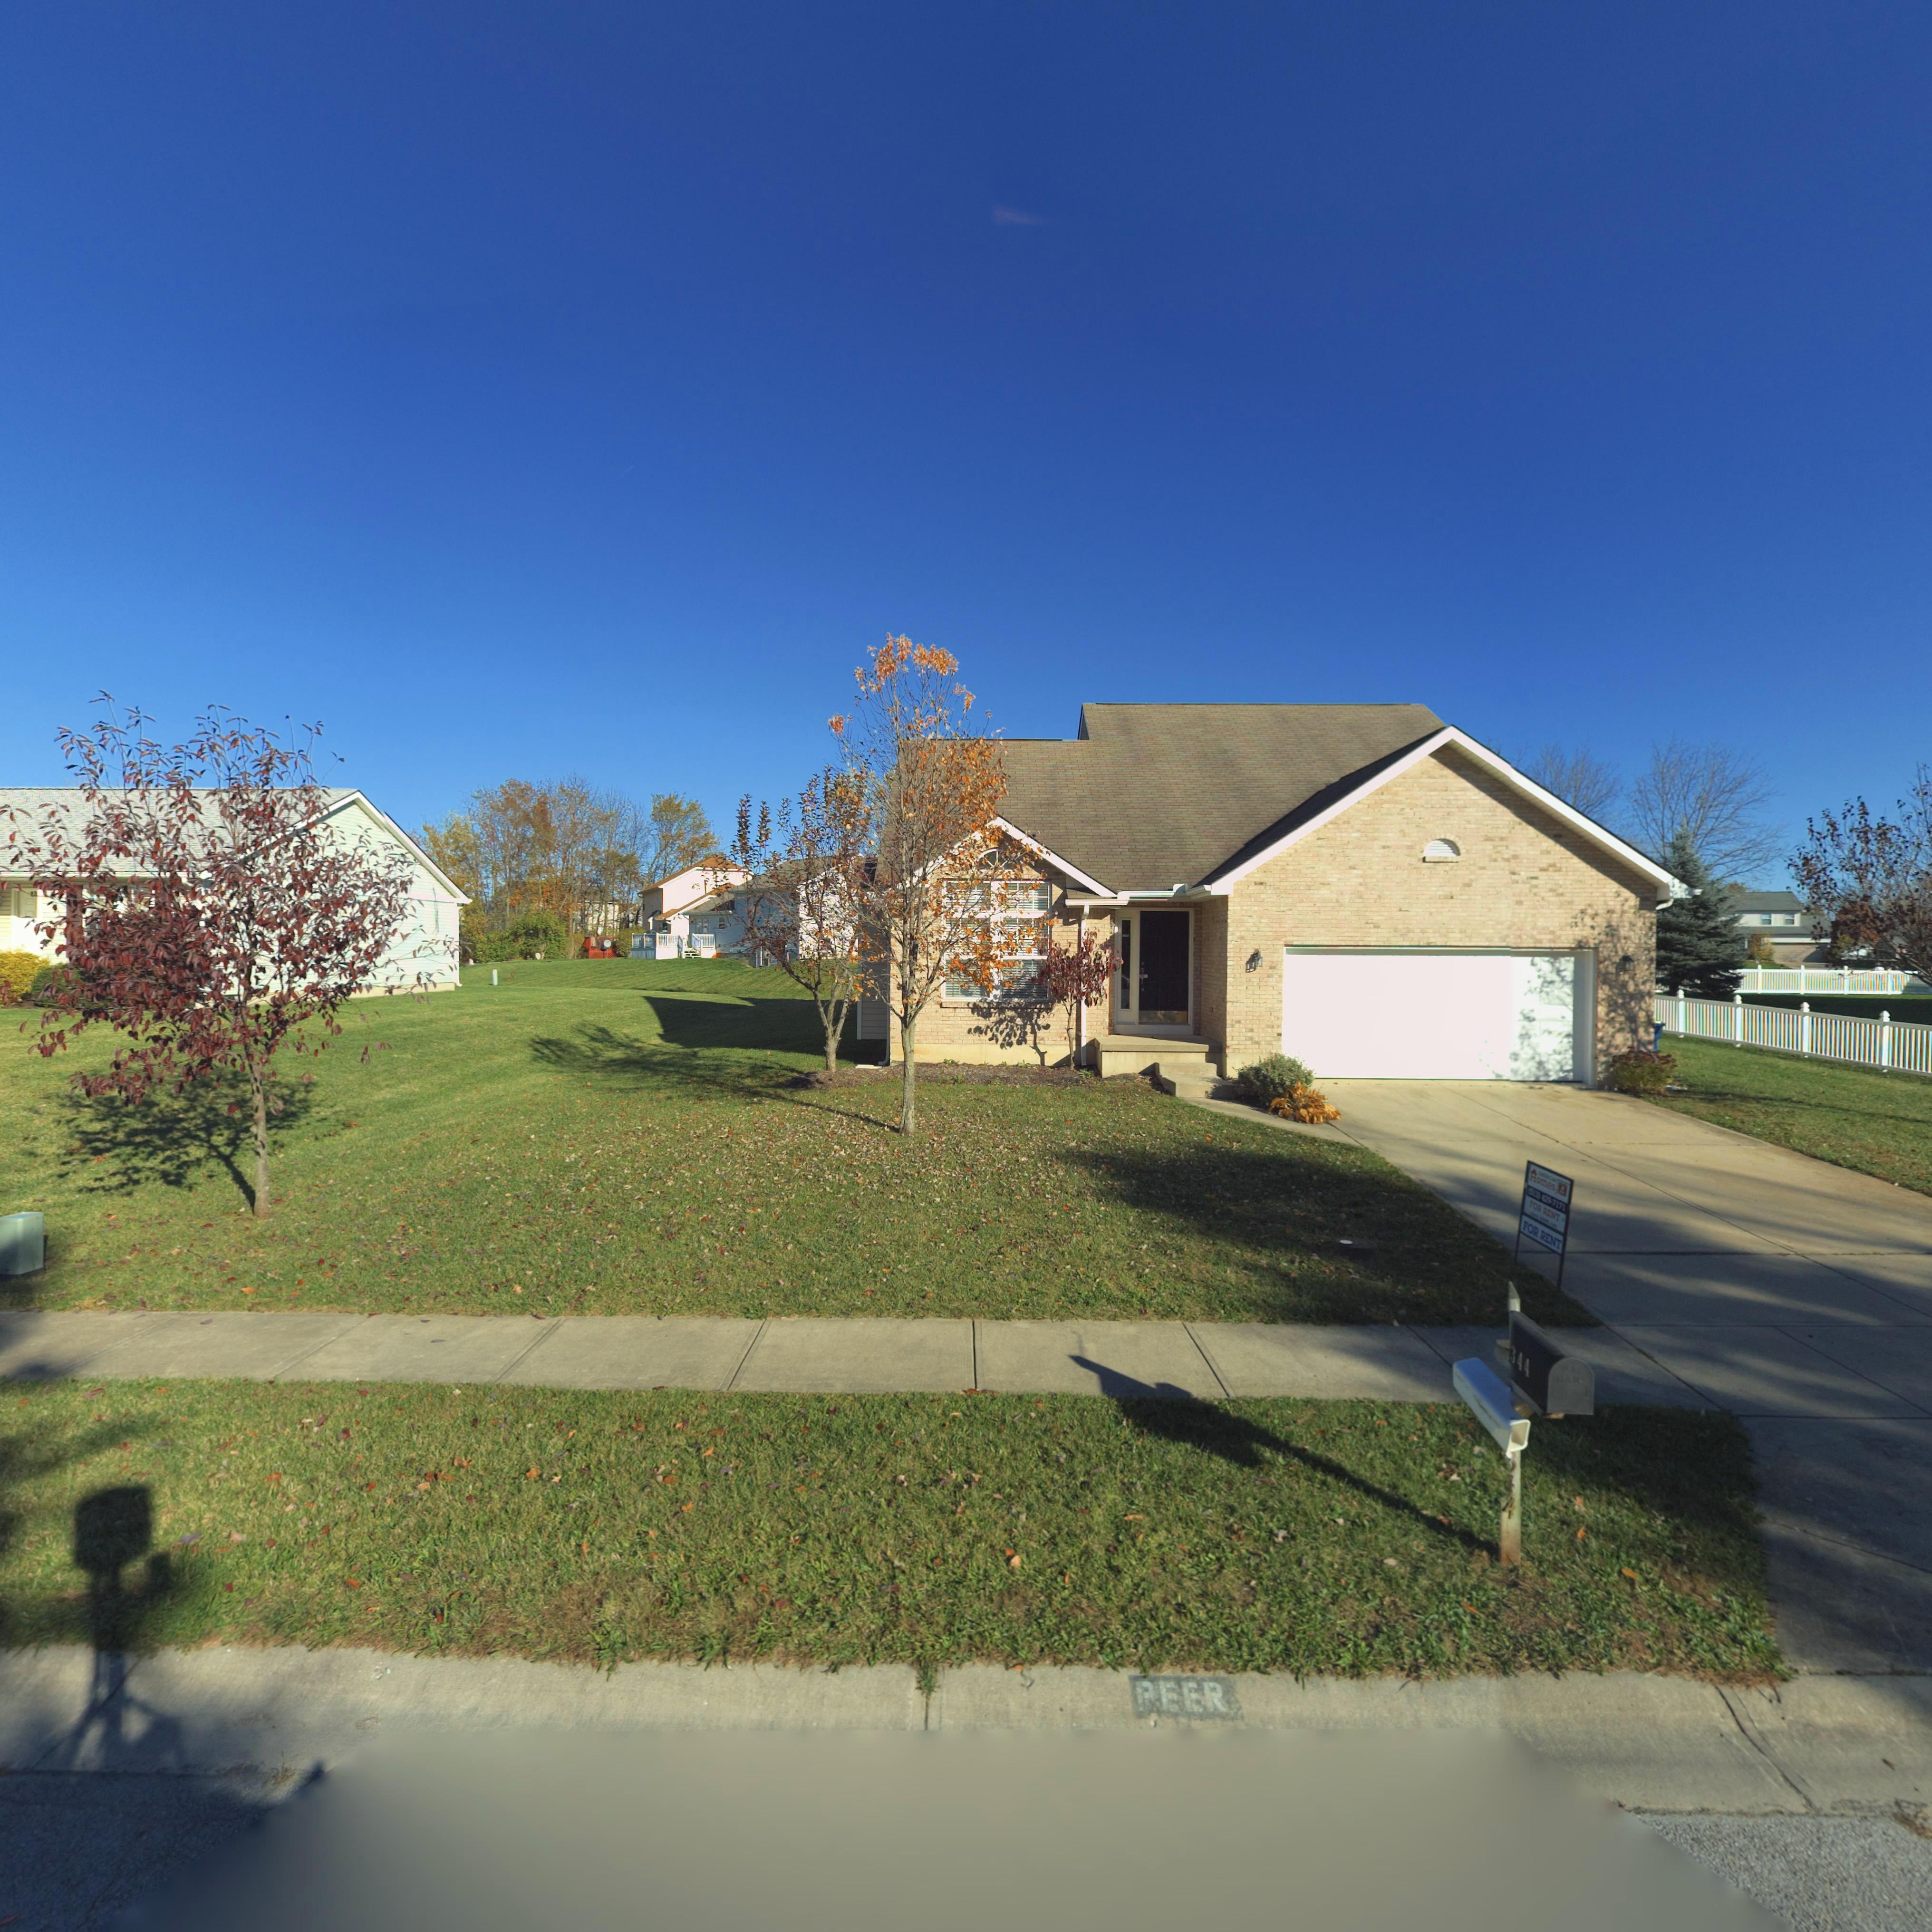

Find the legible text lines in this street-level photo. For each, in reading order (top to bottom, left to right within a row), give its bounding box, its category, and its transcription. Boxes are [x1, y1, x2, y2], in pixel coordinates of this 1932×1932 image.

[1508, 1343, 1530, 1379] StreetNumber: 344
[1501, 1495, 1517, 1520] StreetNumber: 4